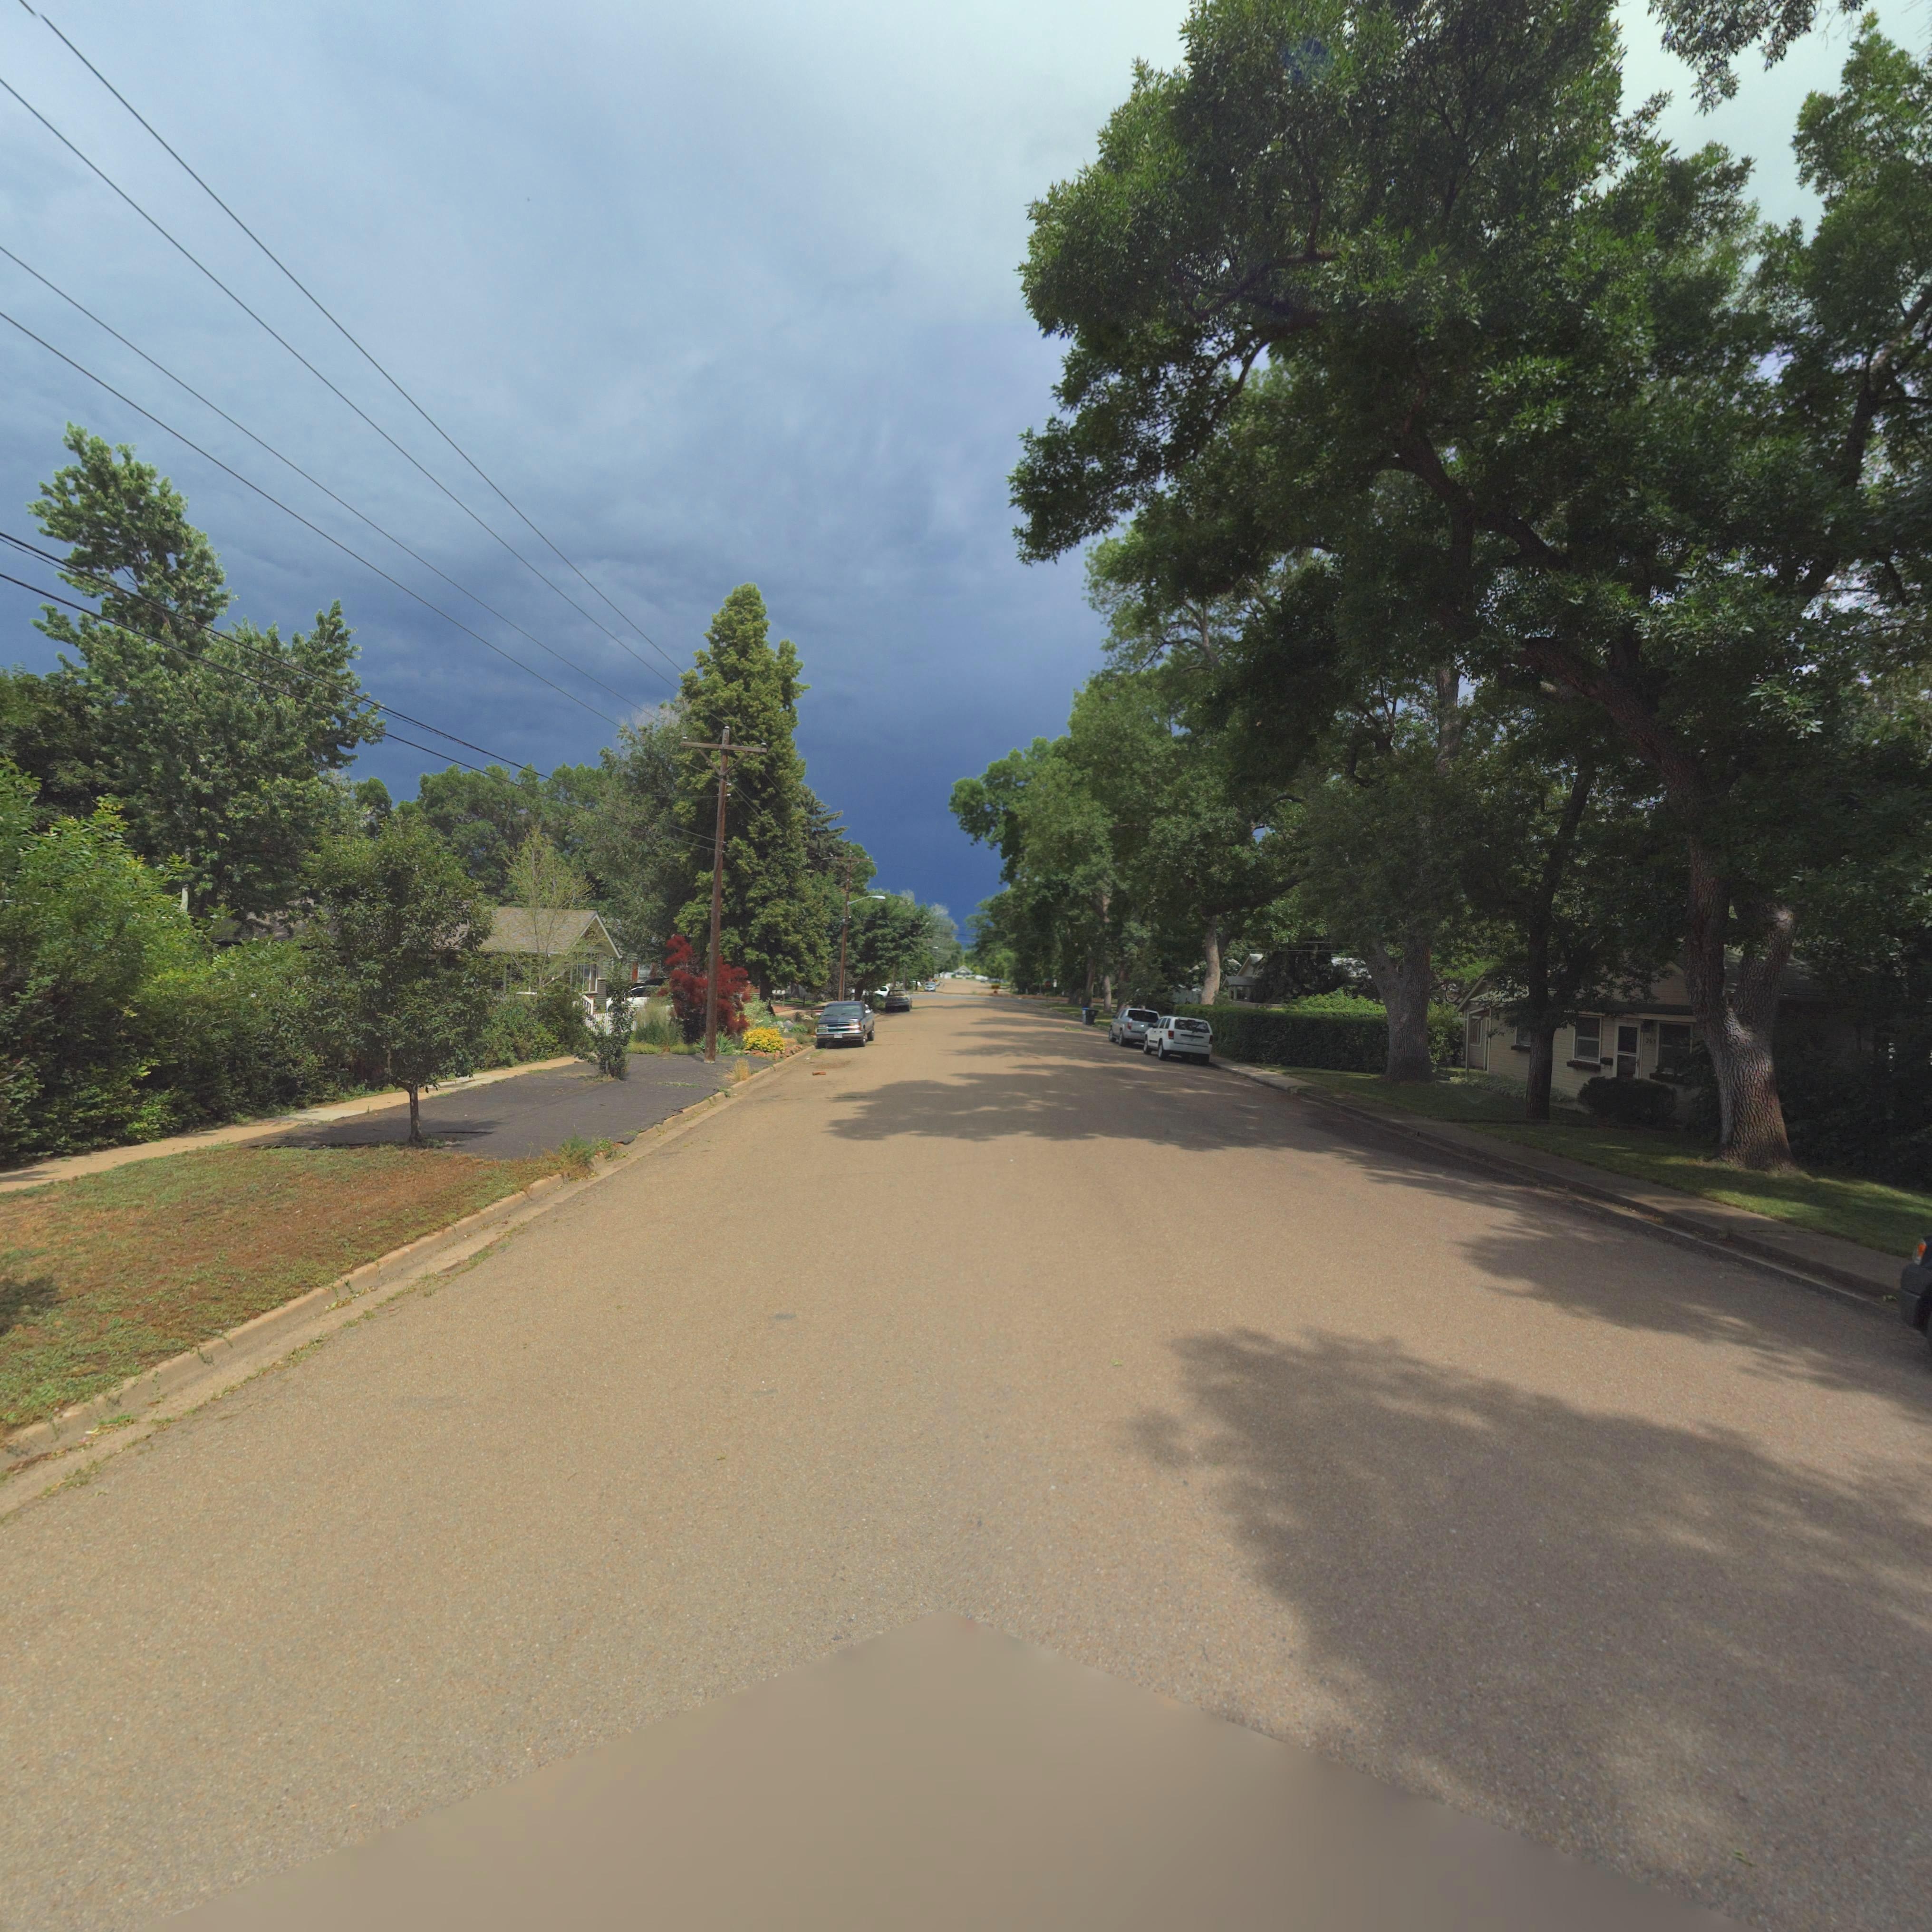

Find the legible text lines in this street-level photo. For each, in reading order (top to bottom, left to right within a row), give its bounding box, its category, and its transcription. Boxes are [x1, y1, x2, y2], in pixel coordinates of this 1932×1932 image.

[1645, 1037, 1656, 1044] StreetNumber: 26*